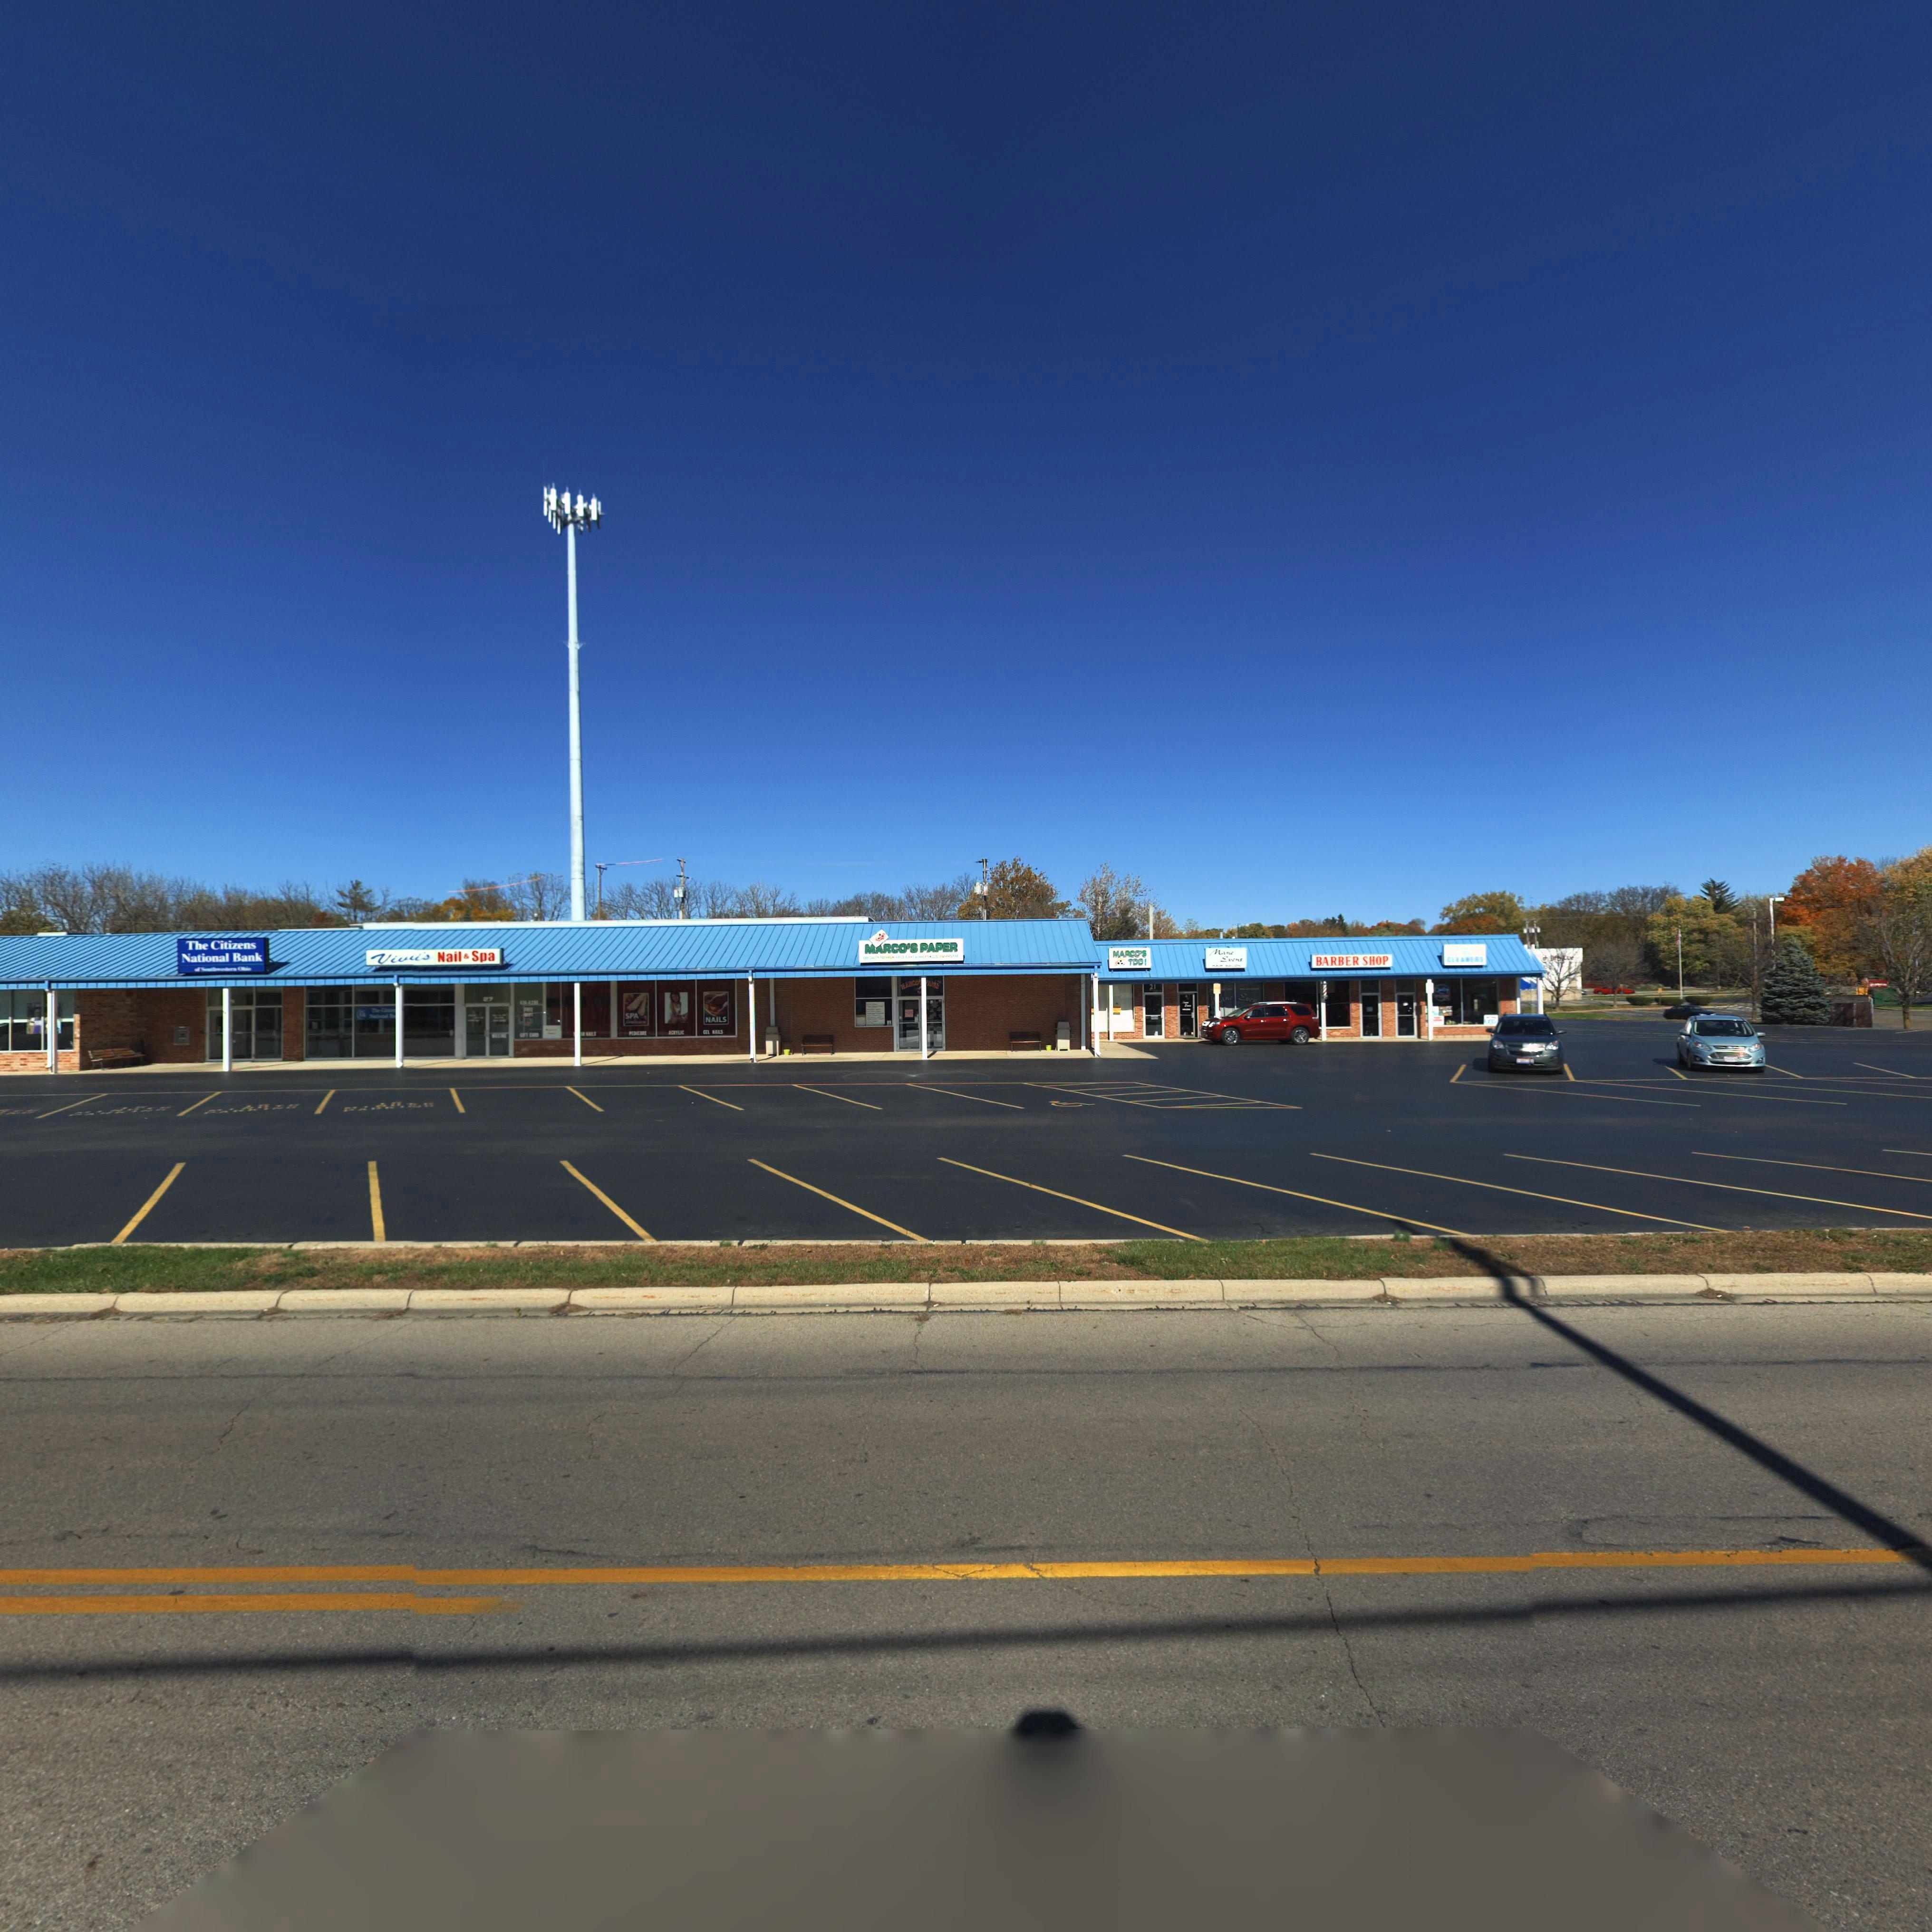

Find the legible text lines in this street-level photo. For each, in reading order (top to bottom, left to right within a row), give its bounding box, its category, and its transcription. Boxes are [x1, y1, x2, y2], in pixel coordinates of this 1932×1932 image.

[184, 939, 257, 951] None: The Citizens
[180, 952, 264, 964] None: National Bank
[370, 950, 495, 965] BusinessName: Vivi's Nail & Spa
[864, 942, 958, 955] BusinessName: MARCO'S PAPER
[1112, 950, 1147, 958] BusinessName: MARCO'S
[1127, 958, 1147, 966] BusinessName: TOO!
[1208, 948, 1222, 956] BusinessName: M
[1218, 956, 1229, 963] BusinessName: E
[1315, 955, 1390, 966] BusinessName: BARBER SHOP
[1446, 956, 1485, 964] BusinessName: CLEANERS
[1149, 984, 1157, 990] StreetNumber: 21
[482, 996, 494, 1003] StreetNumber: 27
[625, 1013, 640, 1020] None: SPA
[705, 1016, 728, 1023] None: NAILS
[519, 1032, 540, 1038] None: GIFT CARD
[628, 1030, 647, 1036] None: PEDICURE
[667, 1029, 685, 1035] None: ACRYLIC
[702, 1029, 724, 1035] None: GEL NAILS